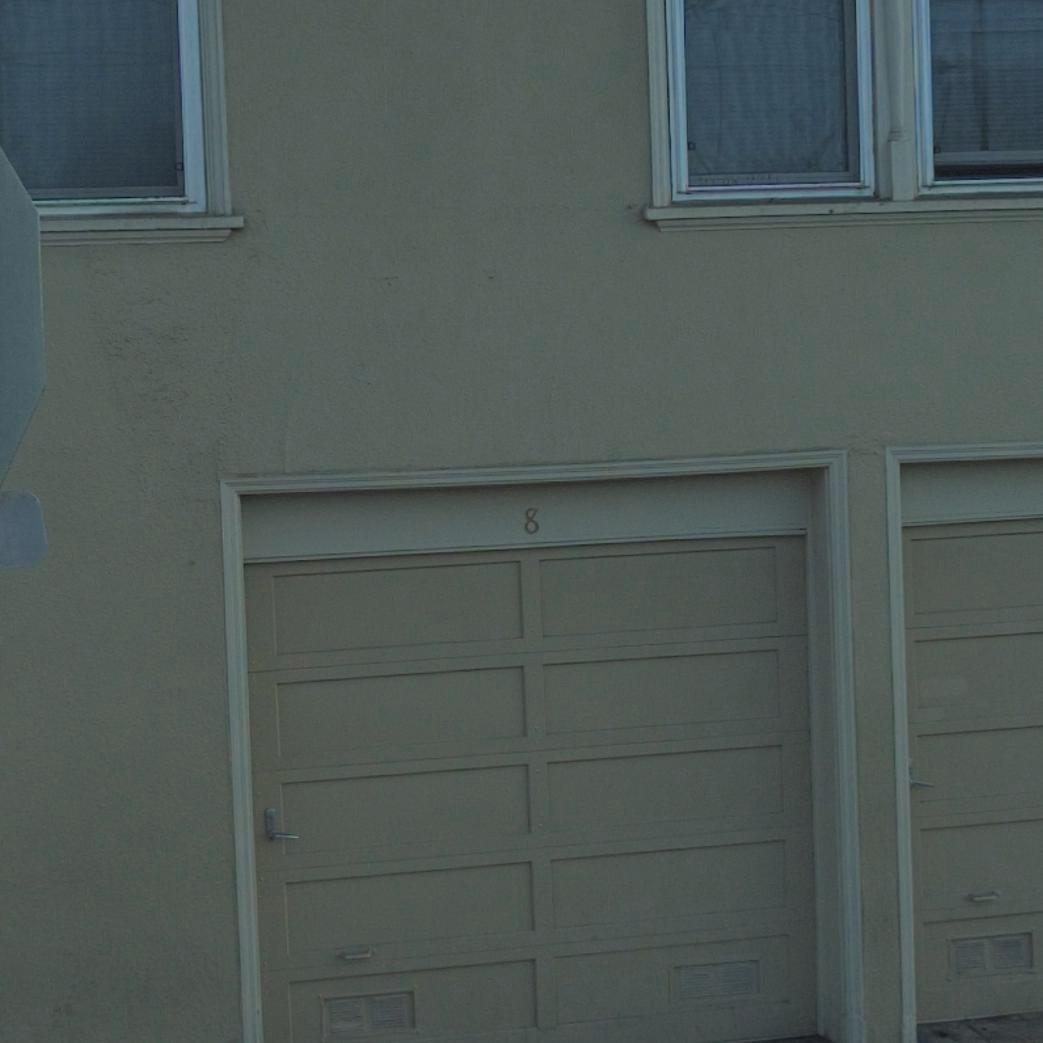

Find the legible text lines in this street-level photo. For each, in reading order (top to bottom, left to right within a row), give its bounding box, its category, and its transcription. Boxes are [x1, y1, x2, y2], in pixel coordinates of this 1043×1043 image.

[521, 505, 542, 538] StreetNumber: 8